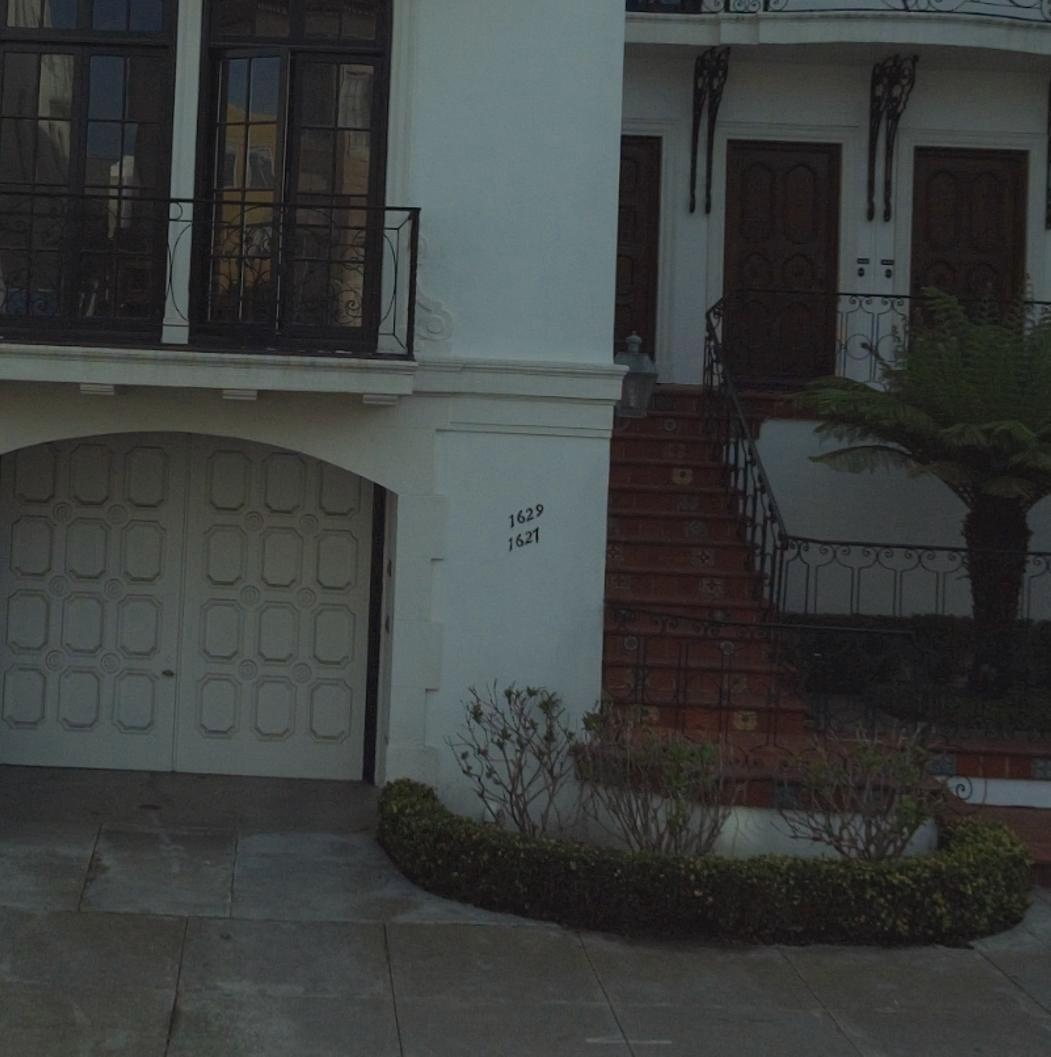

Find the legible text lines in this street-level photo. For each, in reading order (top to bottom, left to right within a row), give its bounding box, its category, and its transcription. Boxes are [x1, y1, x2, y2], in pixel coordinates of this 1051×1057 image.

[505, 501, 548, 533] StreetNumber: 1629
[505, 522, 542, 557] StreetNumber: 1627